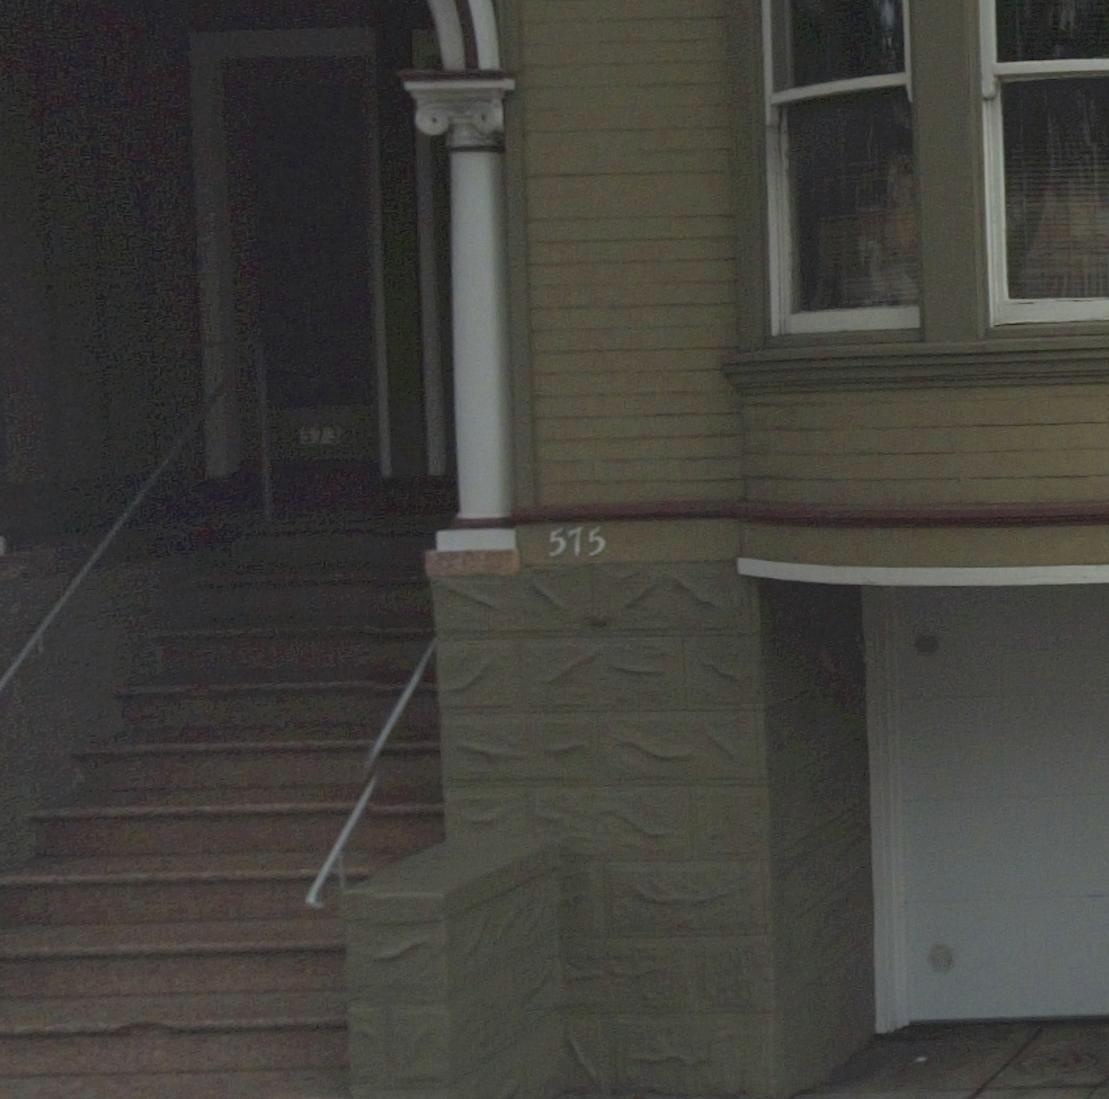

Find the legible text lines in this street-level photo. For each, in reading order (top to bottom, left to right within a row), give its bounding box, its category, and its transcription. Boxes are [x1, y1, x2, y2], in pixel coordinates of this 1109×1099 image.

[301, 425, 340, 443] StreetNumber: 573
[546, 523, 609, 559] StreetNumber: 575